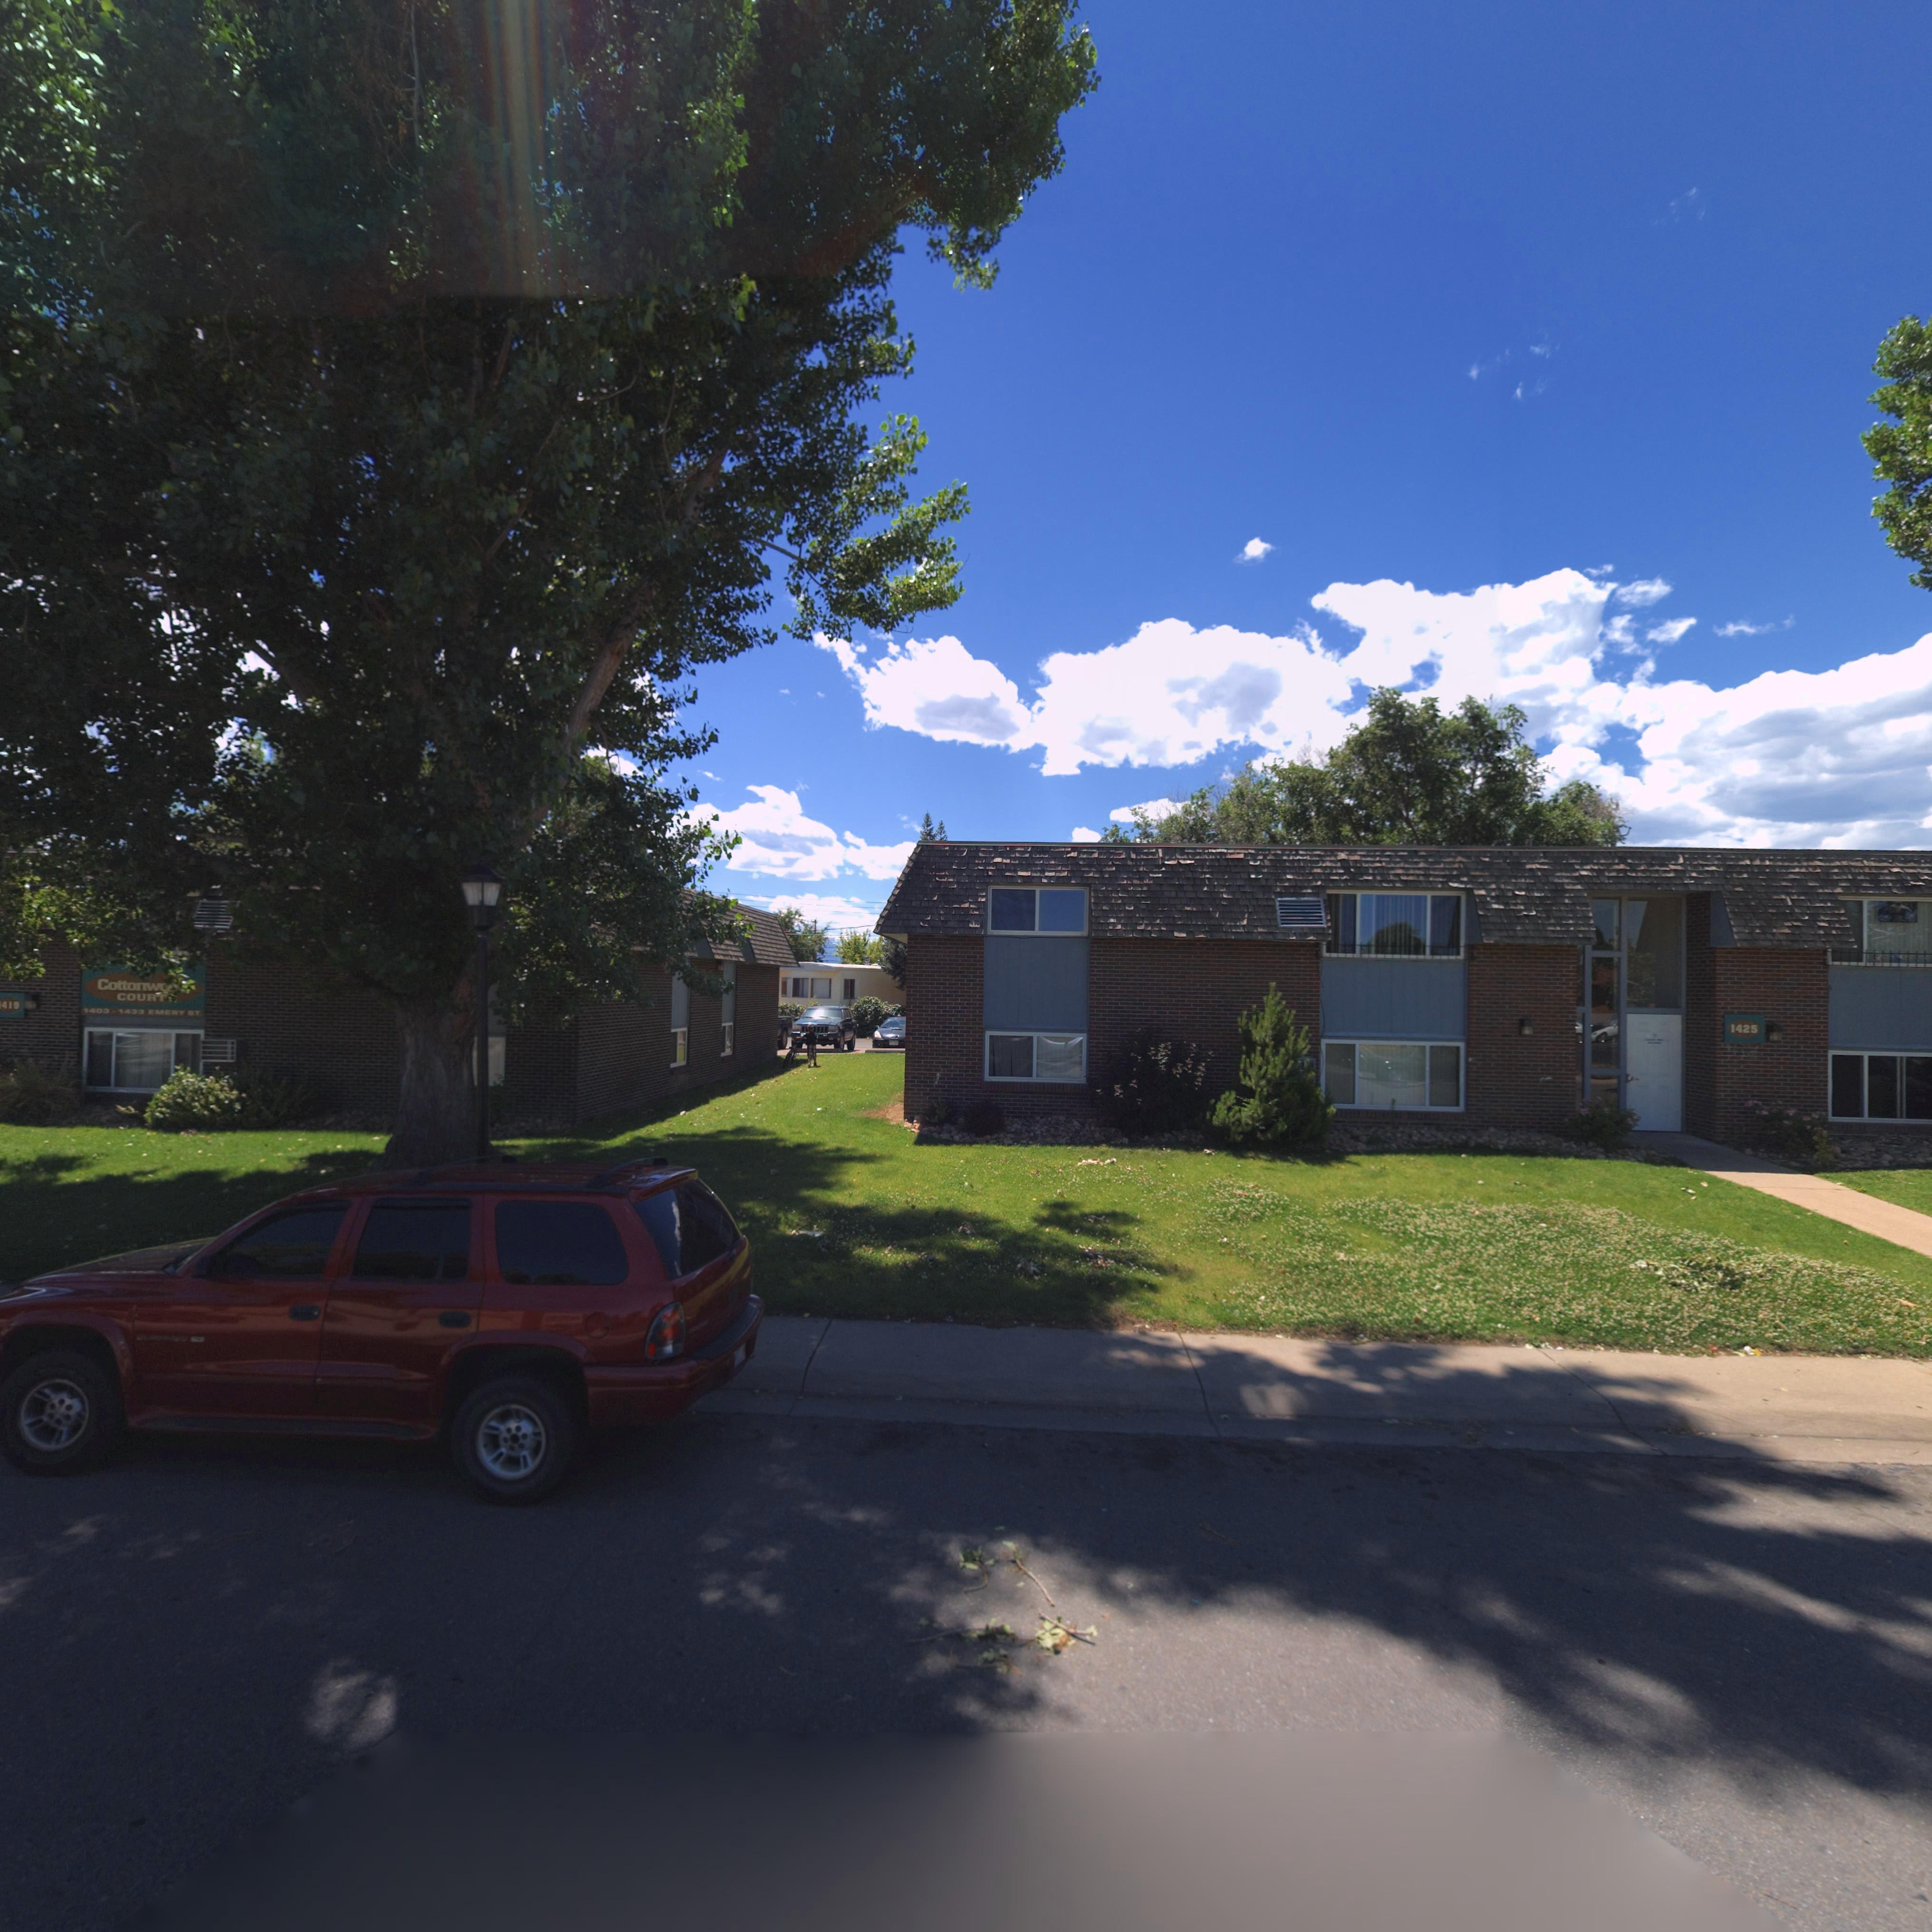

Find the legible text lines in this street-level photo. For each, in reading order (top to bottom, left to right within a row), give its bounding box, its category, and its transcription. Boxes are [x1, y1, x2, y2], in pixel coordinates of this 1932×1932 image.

[97, 977, 171, 992] BusinessName: Cottonw*
[116, 992, 167, 1002] BusinessName: COURT
[0, 1000, 20, 1009] StreetNumber: 419
[83, 1007, 109, 1014] StreetNumber: 1403
[119, 1008, 145, 1014] StreetNumber: 1433
[147, 1009, 203, 1015] StreetName: EMERY ST.
[1730, 1023, 1758, 1034] StreetNumber: 1425